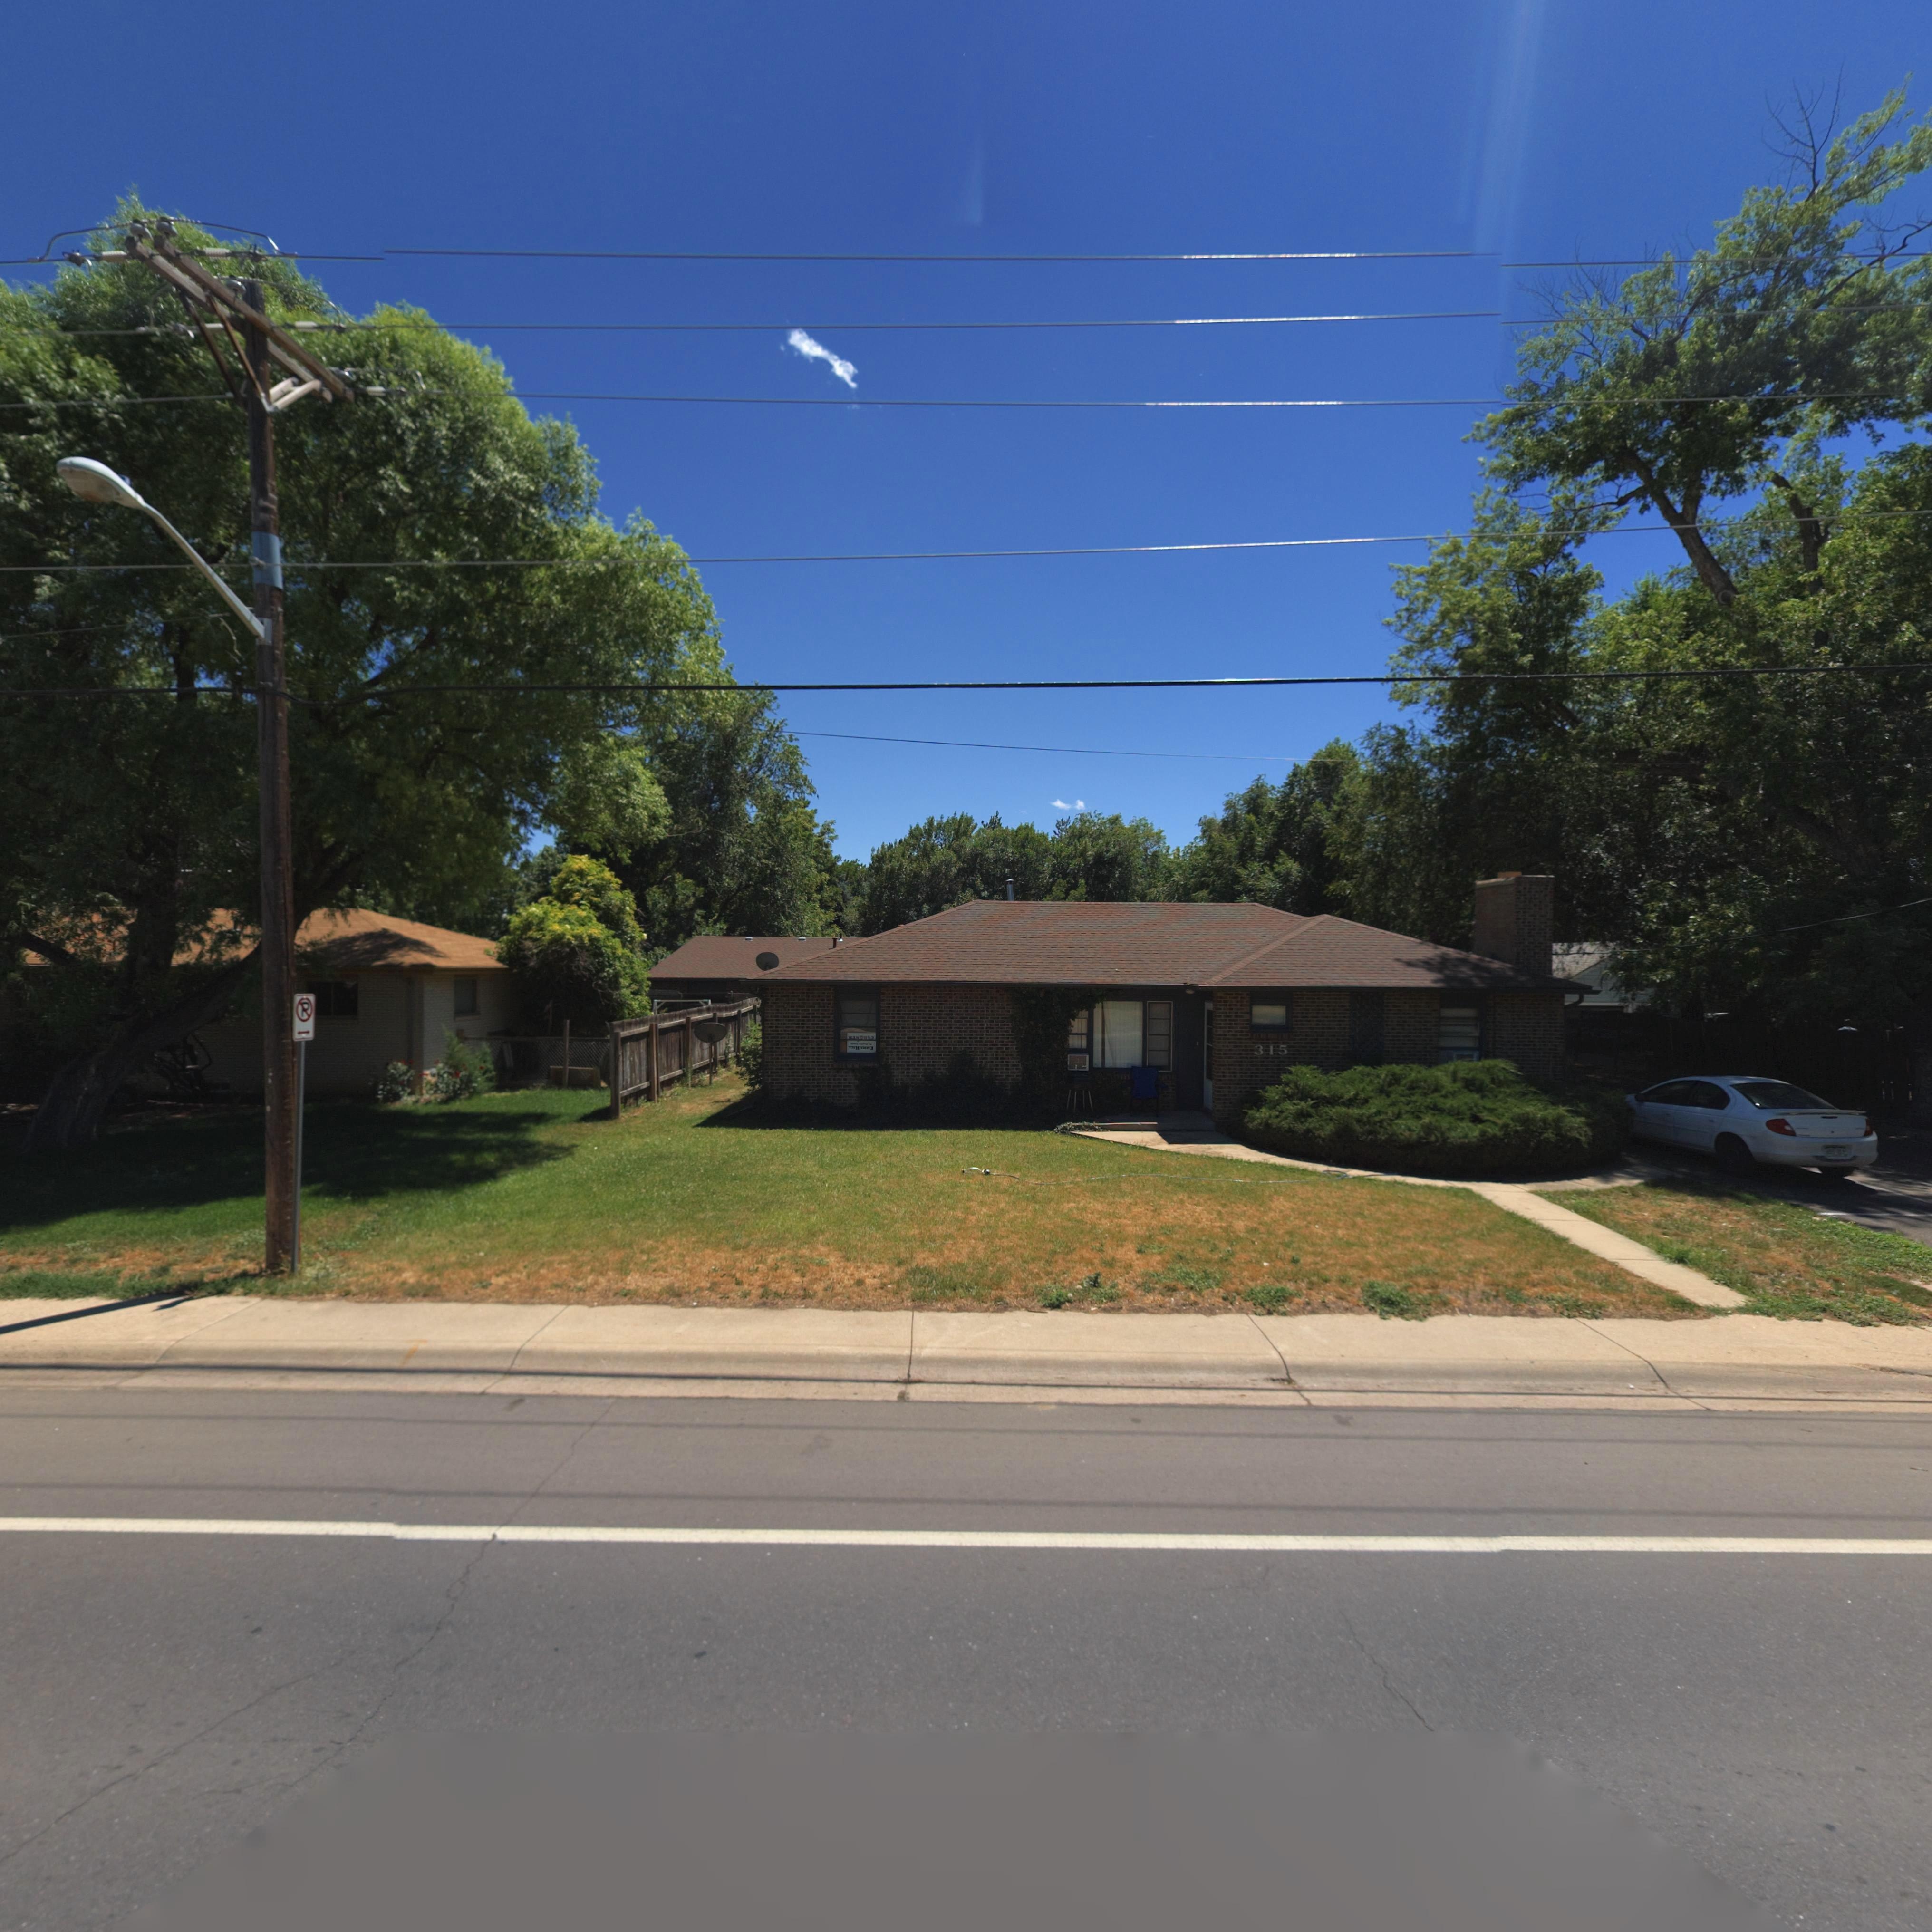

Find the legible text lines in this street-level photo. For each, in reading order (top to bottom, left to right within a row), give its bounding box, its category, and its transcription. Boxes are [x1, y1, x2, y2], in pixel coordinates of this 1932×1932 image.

[1255, 1045, 1287, 1055] StreetNumber: 315